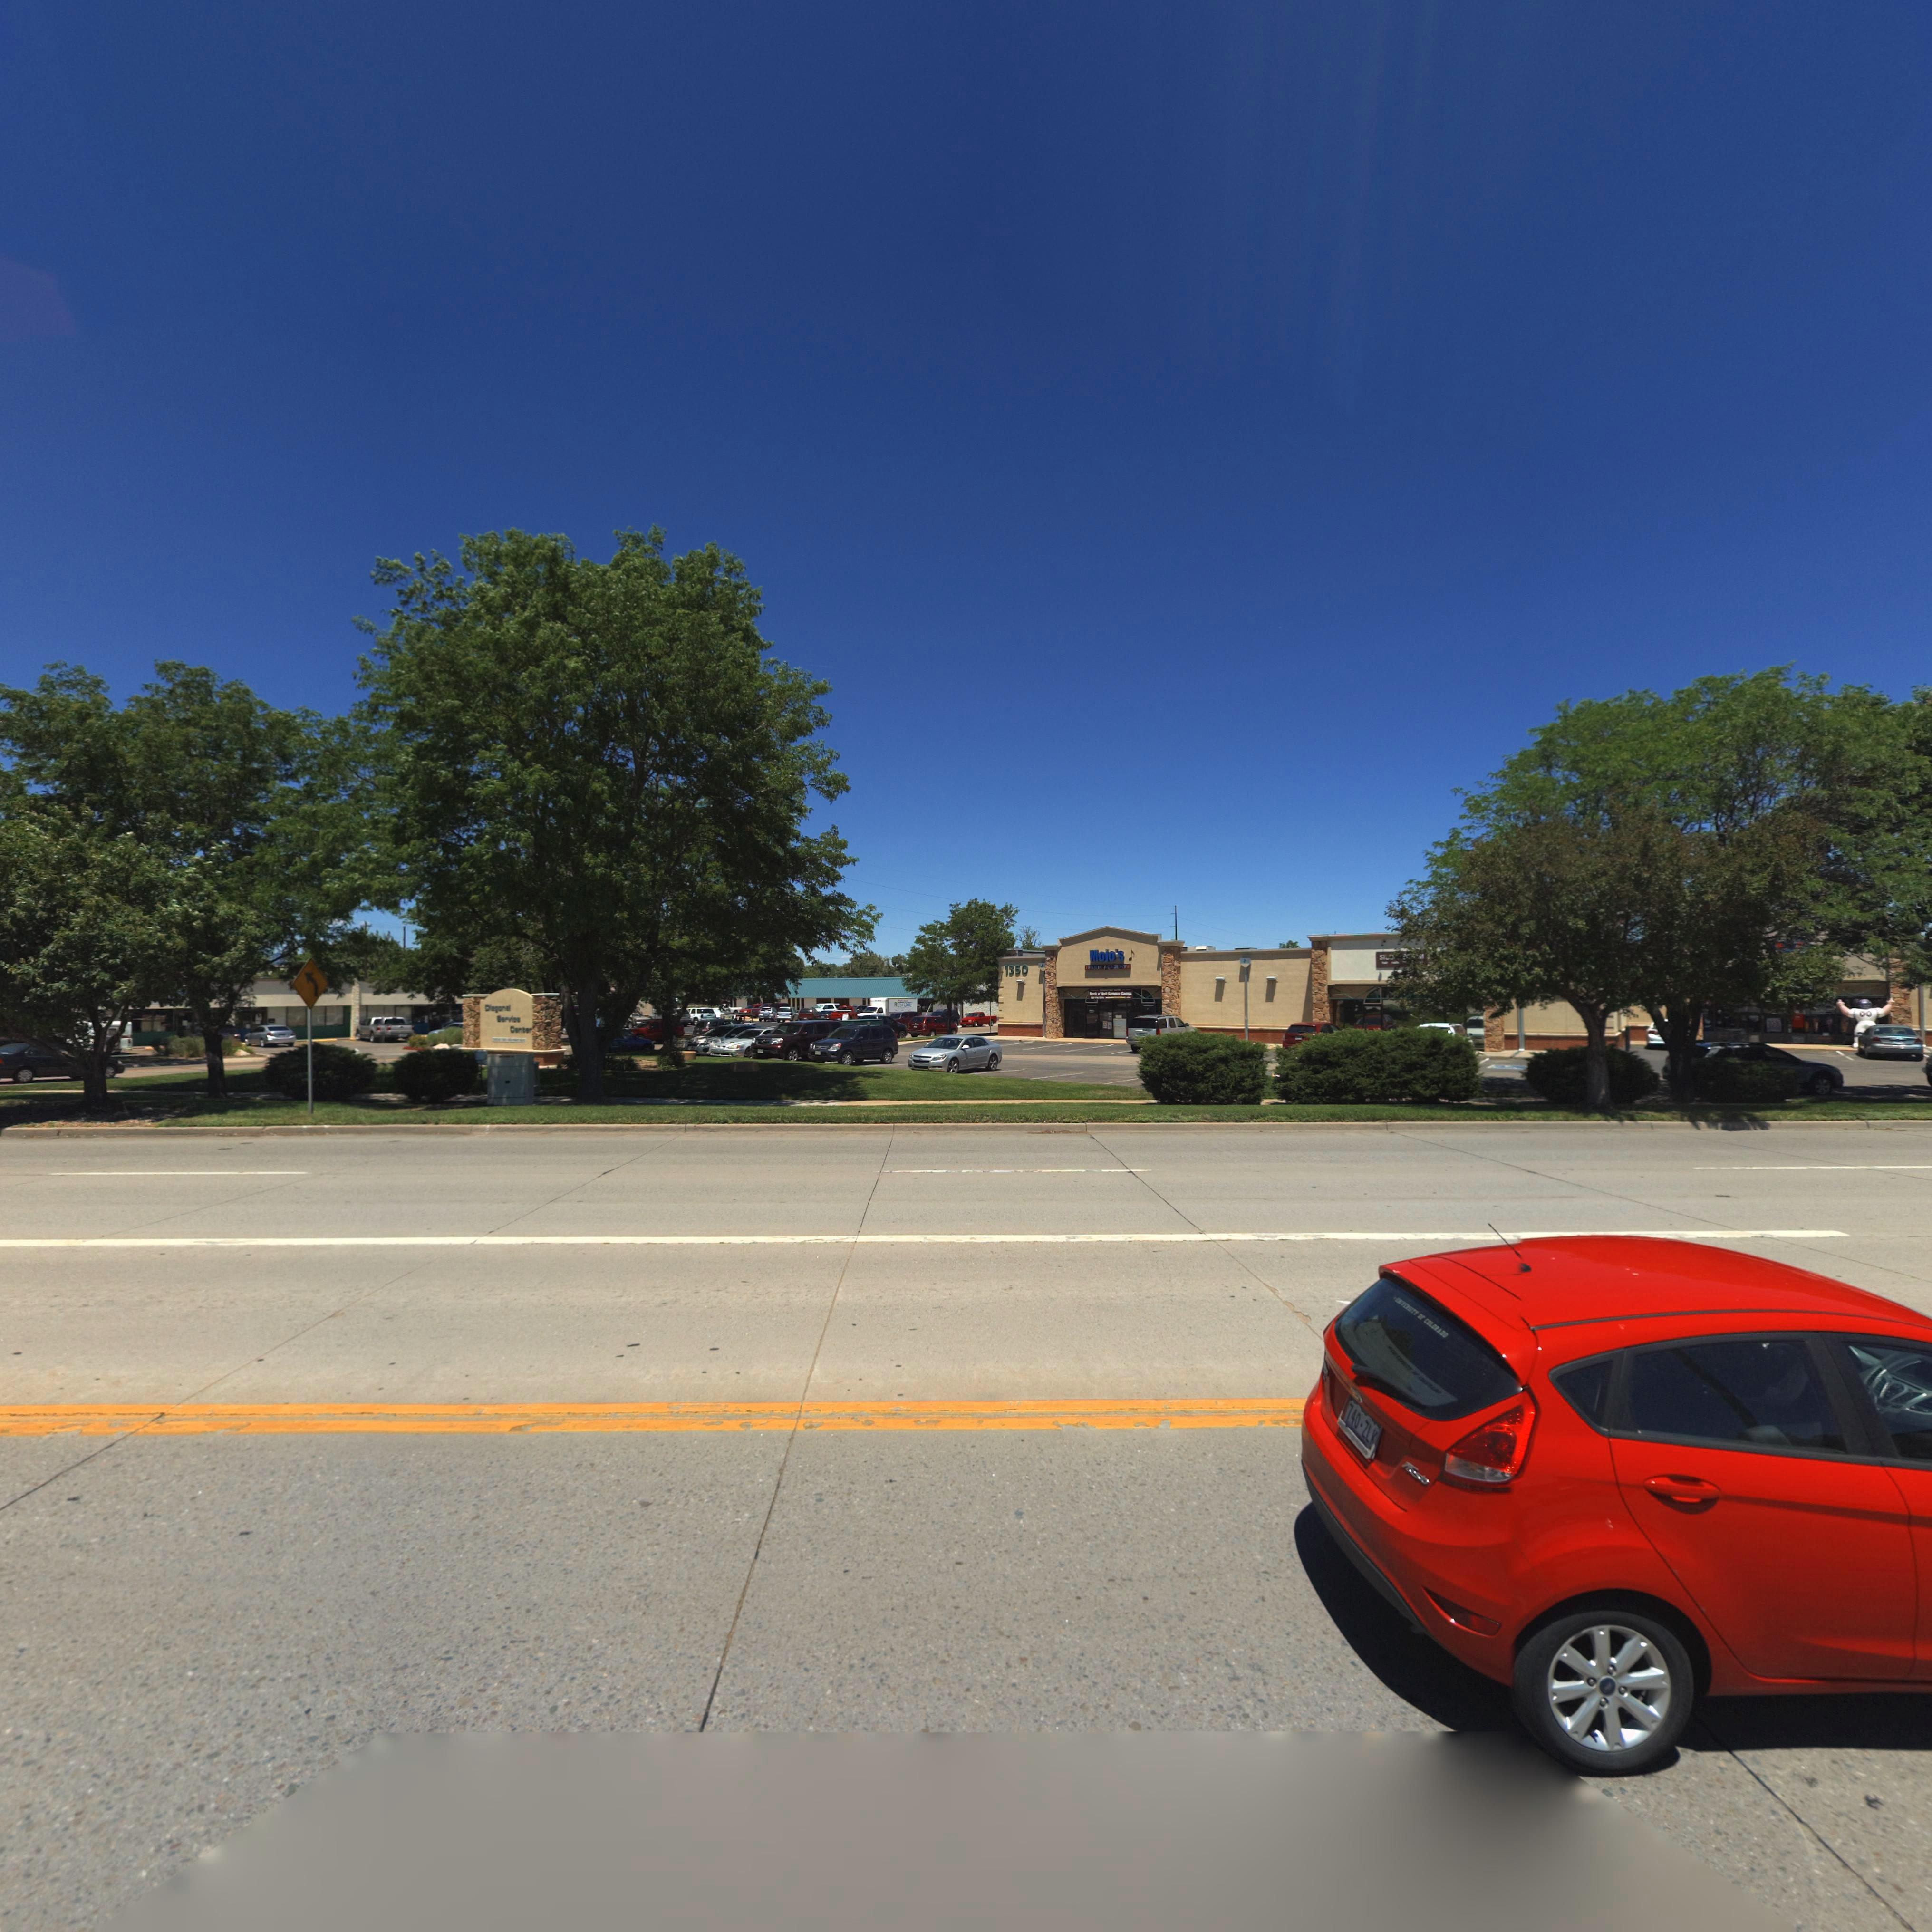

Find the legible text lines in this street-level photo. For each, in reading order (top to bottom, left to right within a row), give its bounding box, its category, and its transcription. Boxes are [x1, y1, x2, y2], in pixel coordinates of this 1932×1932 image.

[1089, 948, 1124, 963] BusinessName: Mojo's
[1004, 963, 1029, 975] StreetNumber: 1350